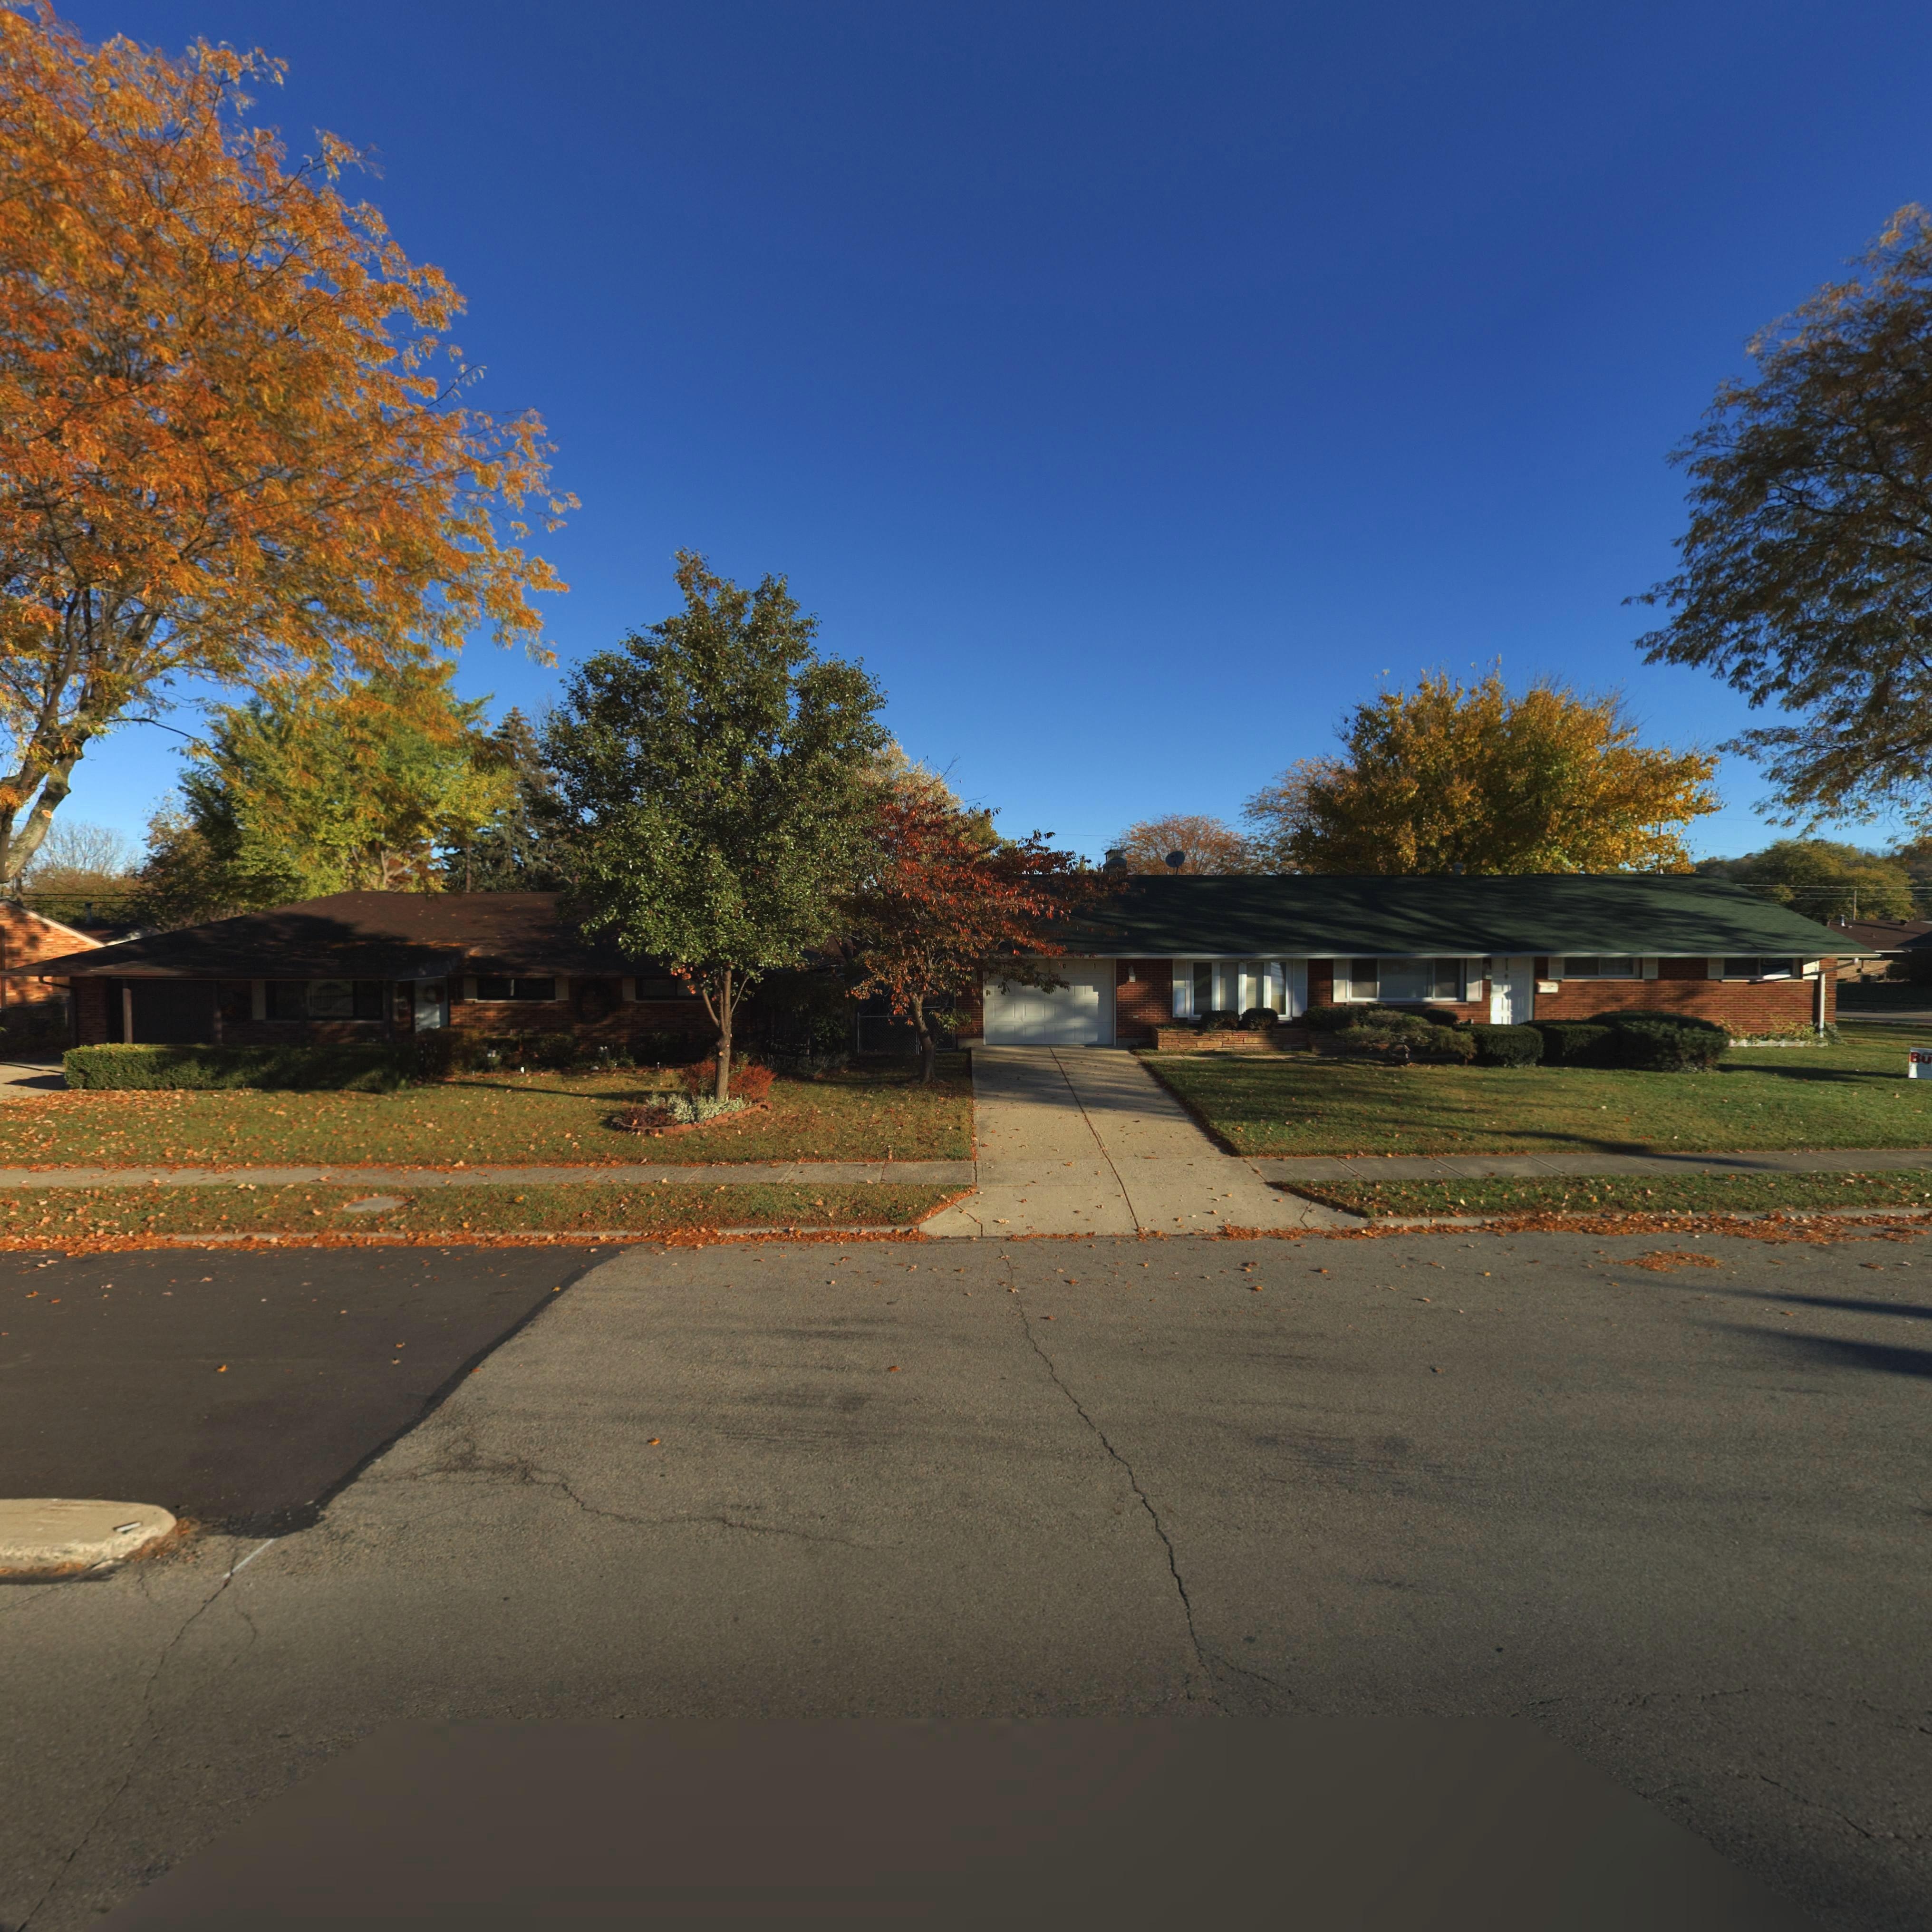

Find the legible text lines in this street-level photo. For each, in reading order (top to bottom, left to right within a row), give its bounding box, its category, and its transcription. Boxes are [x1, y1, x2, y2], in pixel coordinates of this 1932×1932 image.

[1060, 962, 1096, 969] StreetNumber: 01